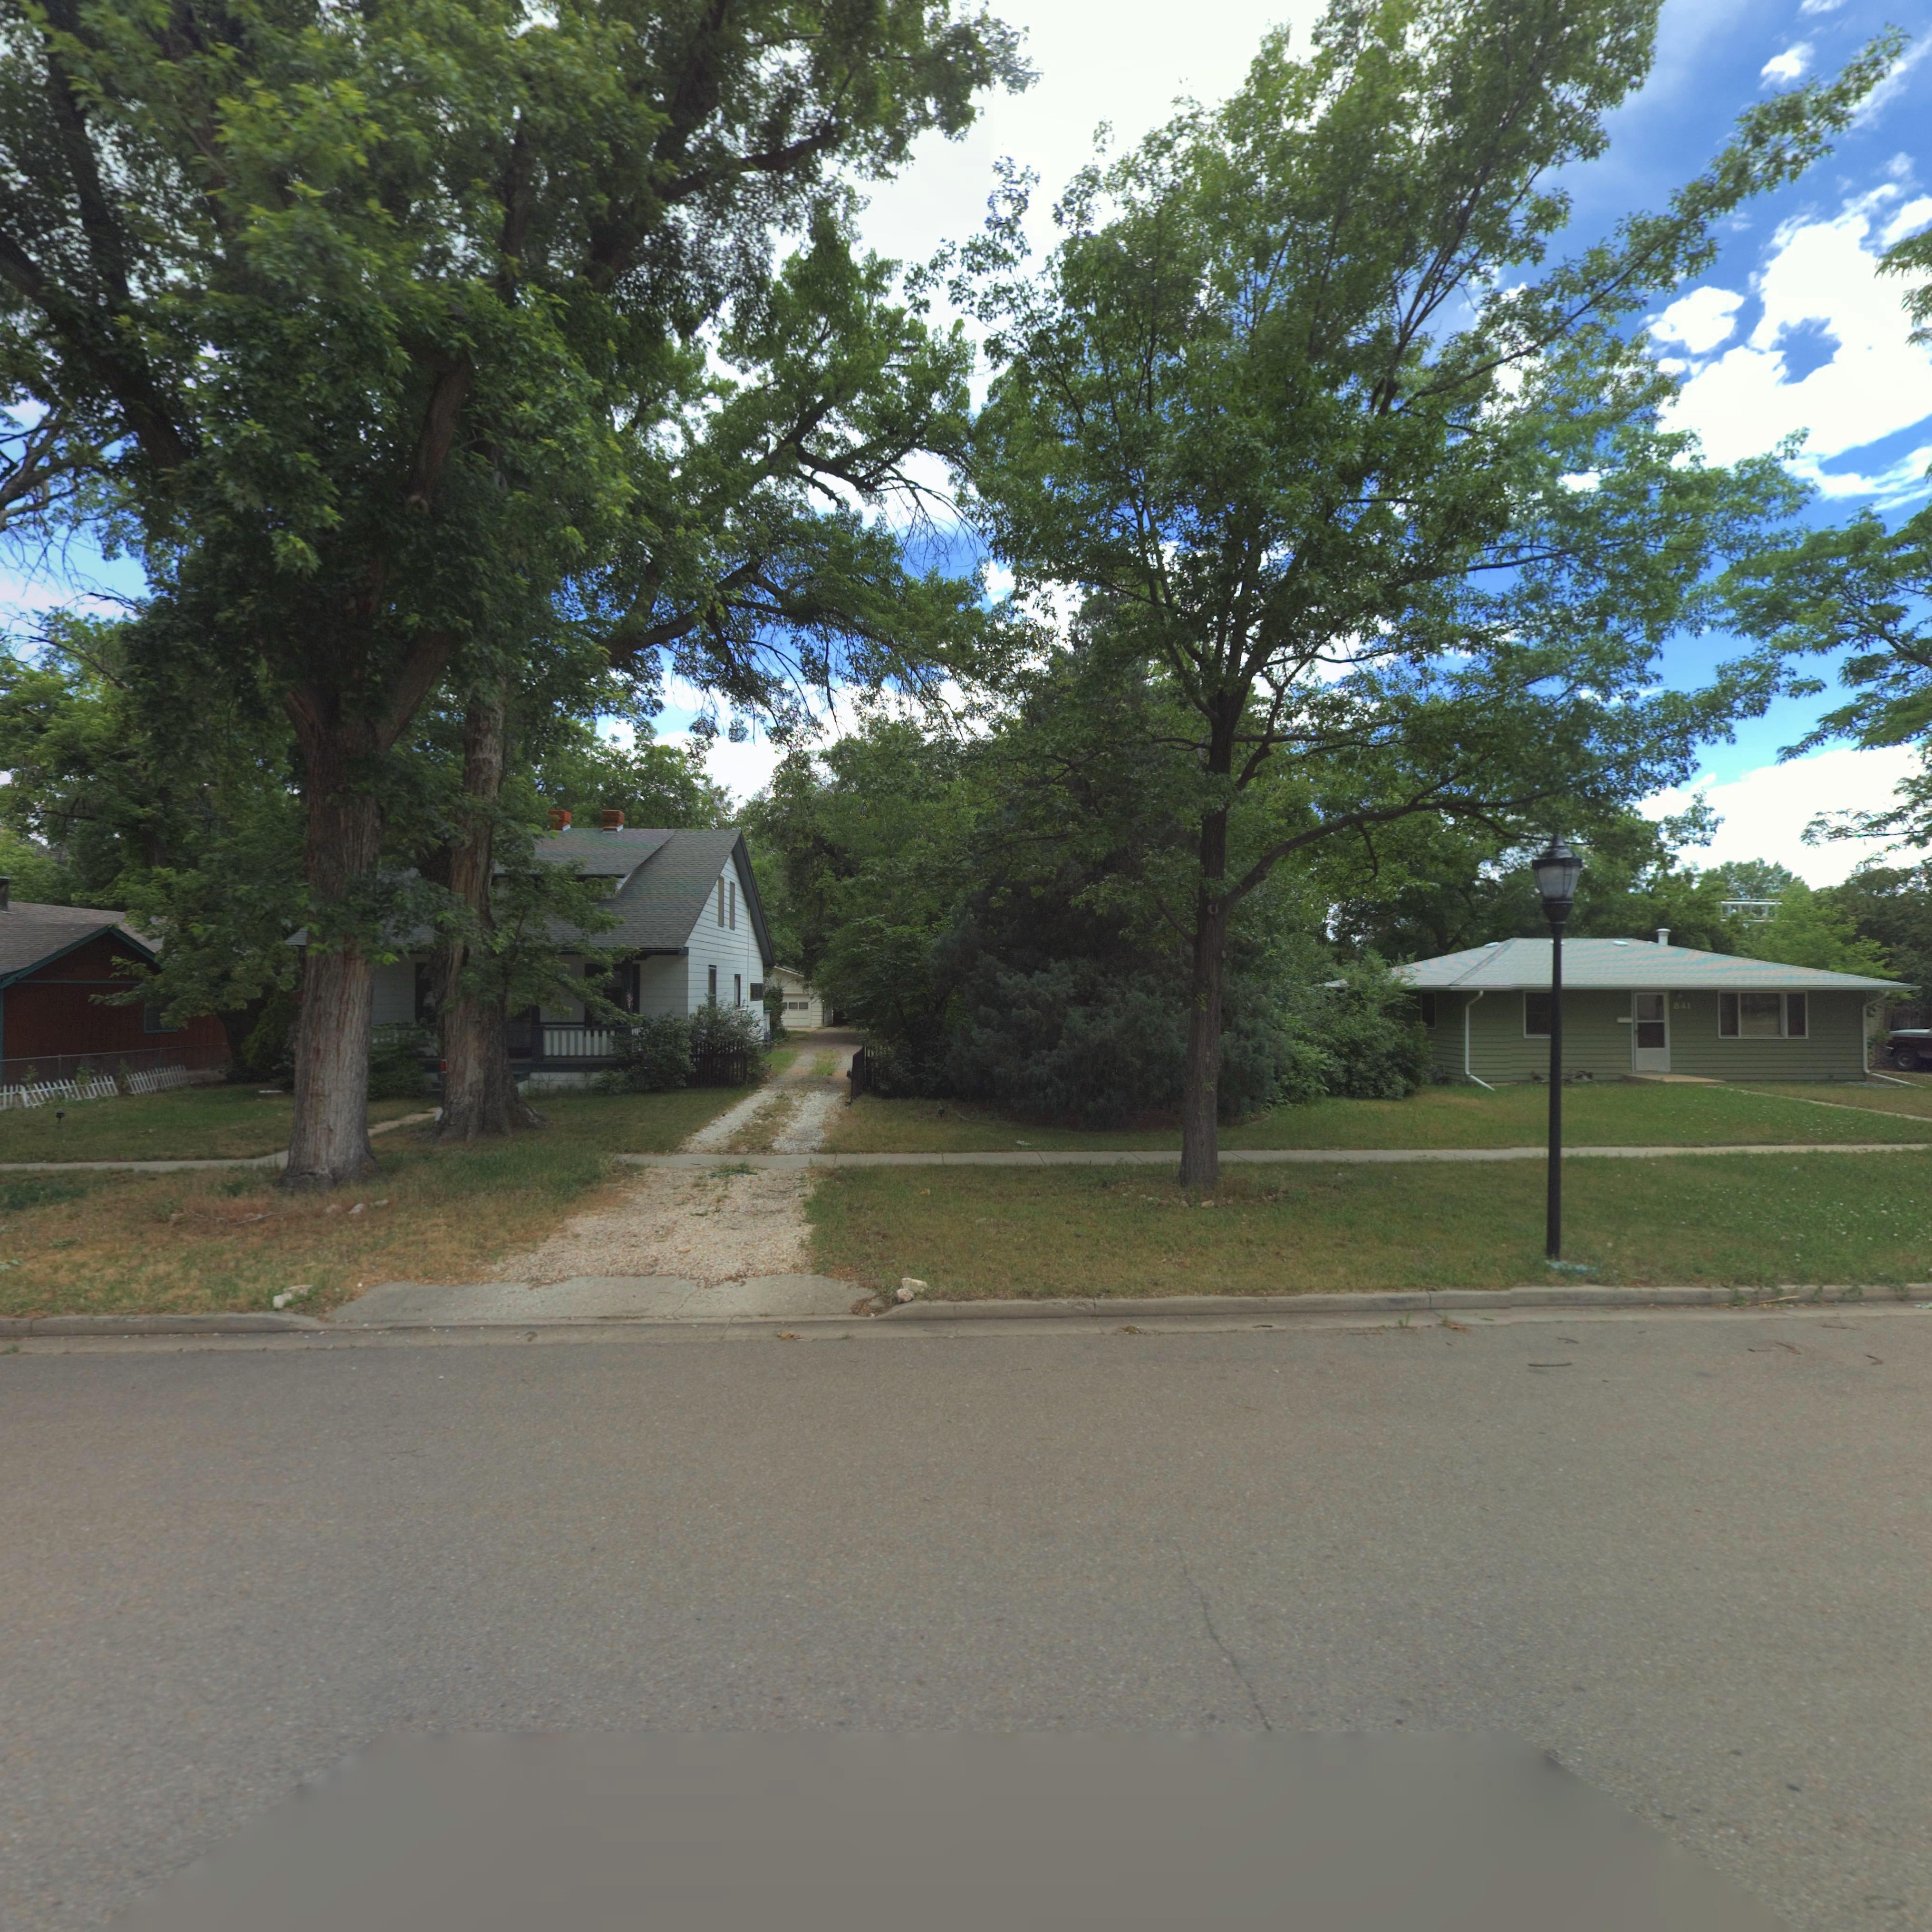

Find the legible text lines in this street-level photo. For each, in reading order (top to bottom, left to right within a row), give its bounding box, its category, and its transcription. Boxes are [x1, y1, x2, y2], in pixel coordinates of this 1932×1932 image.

[1672, 1001, 1692, 1010] StreetNumber: 841